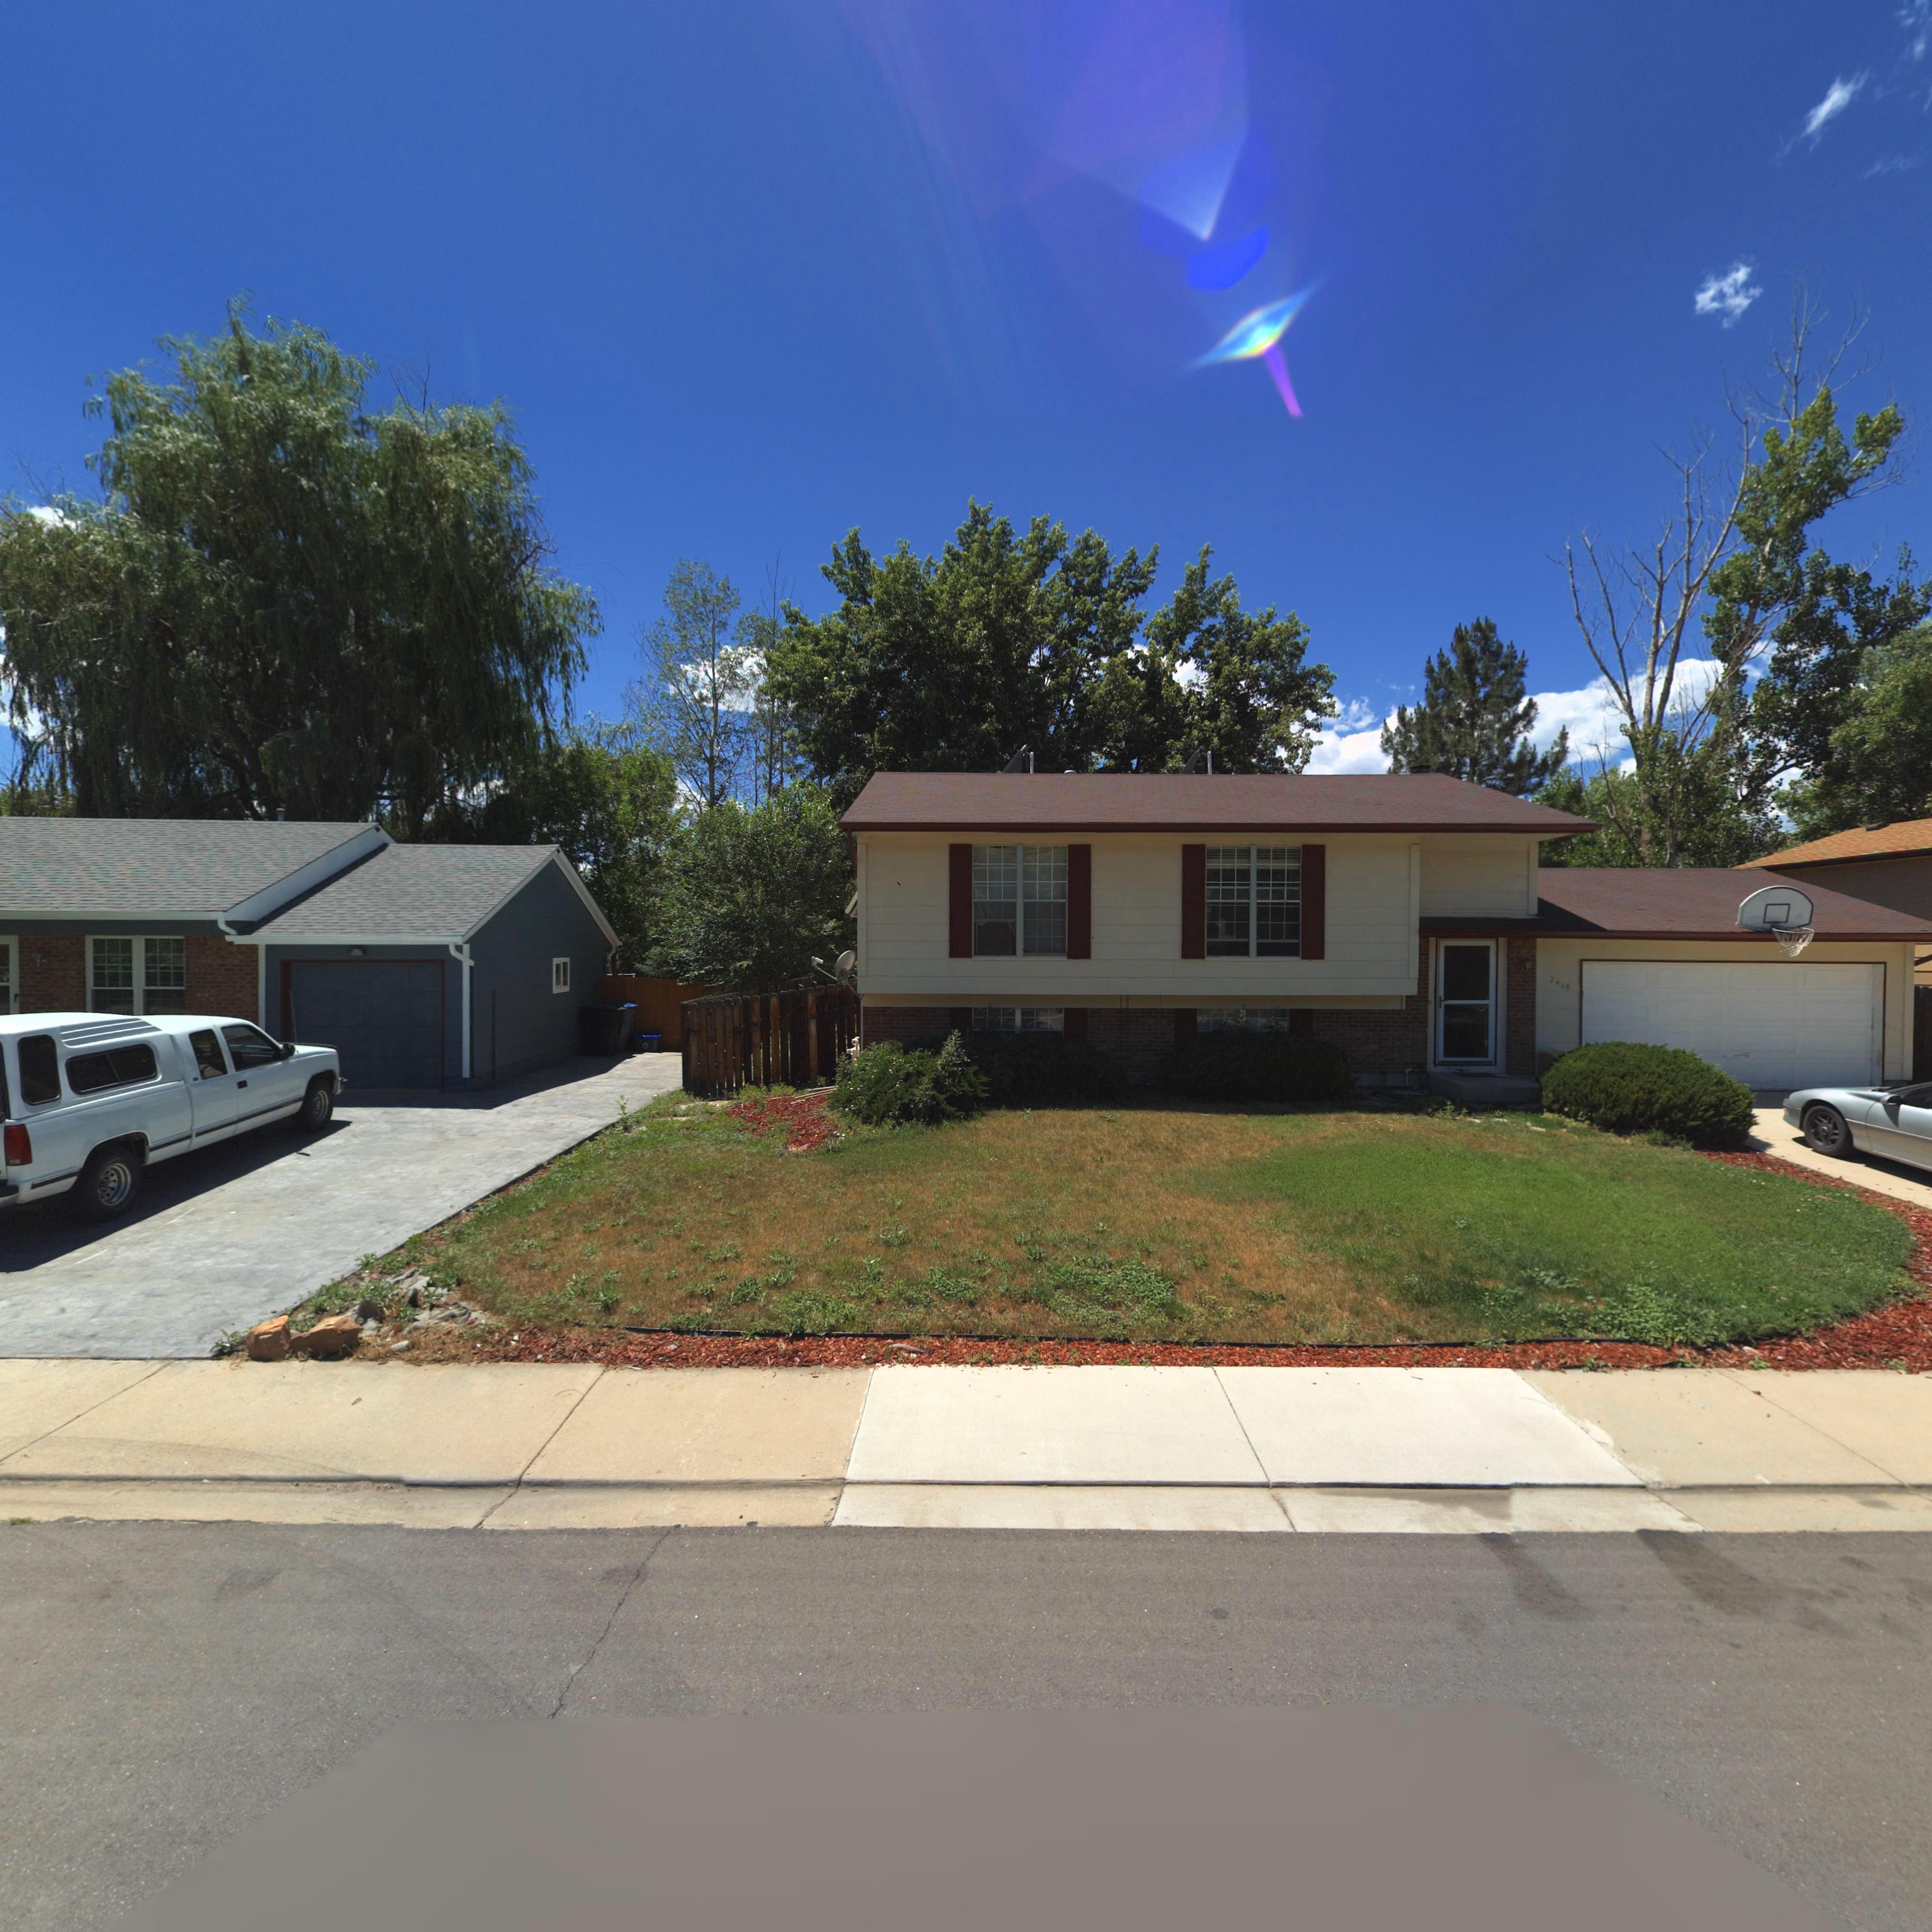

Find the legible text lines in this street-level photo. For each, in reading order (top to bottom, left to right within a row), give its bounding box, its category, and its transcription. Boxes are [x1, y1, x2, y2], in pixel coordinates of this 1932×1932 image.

[1549, 976, 1570, 991] StreetNumber: 2419